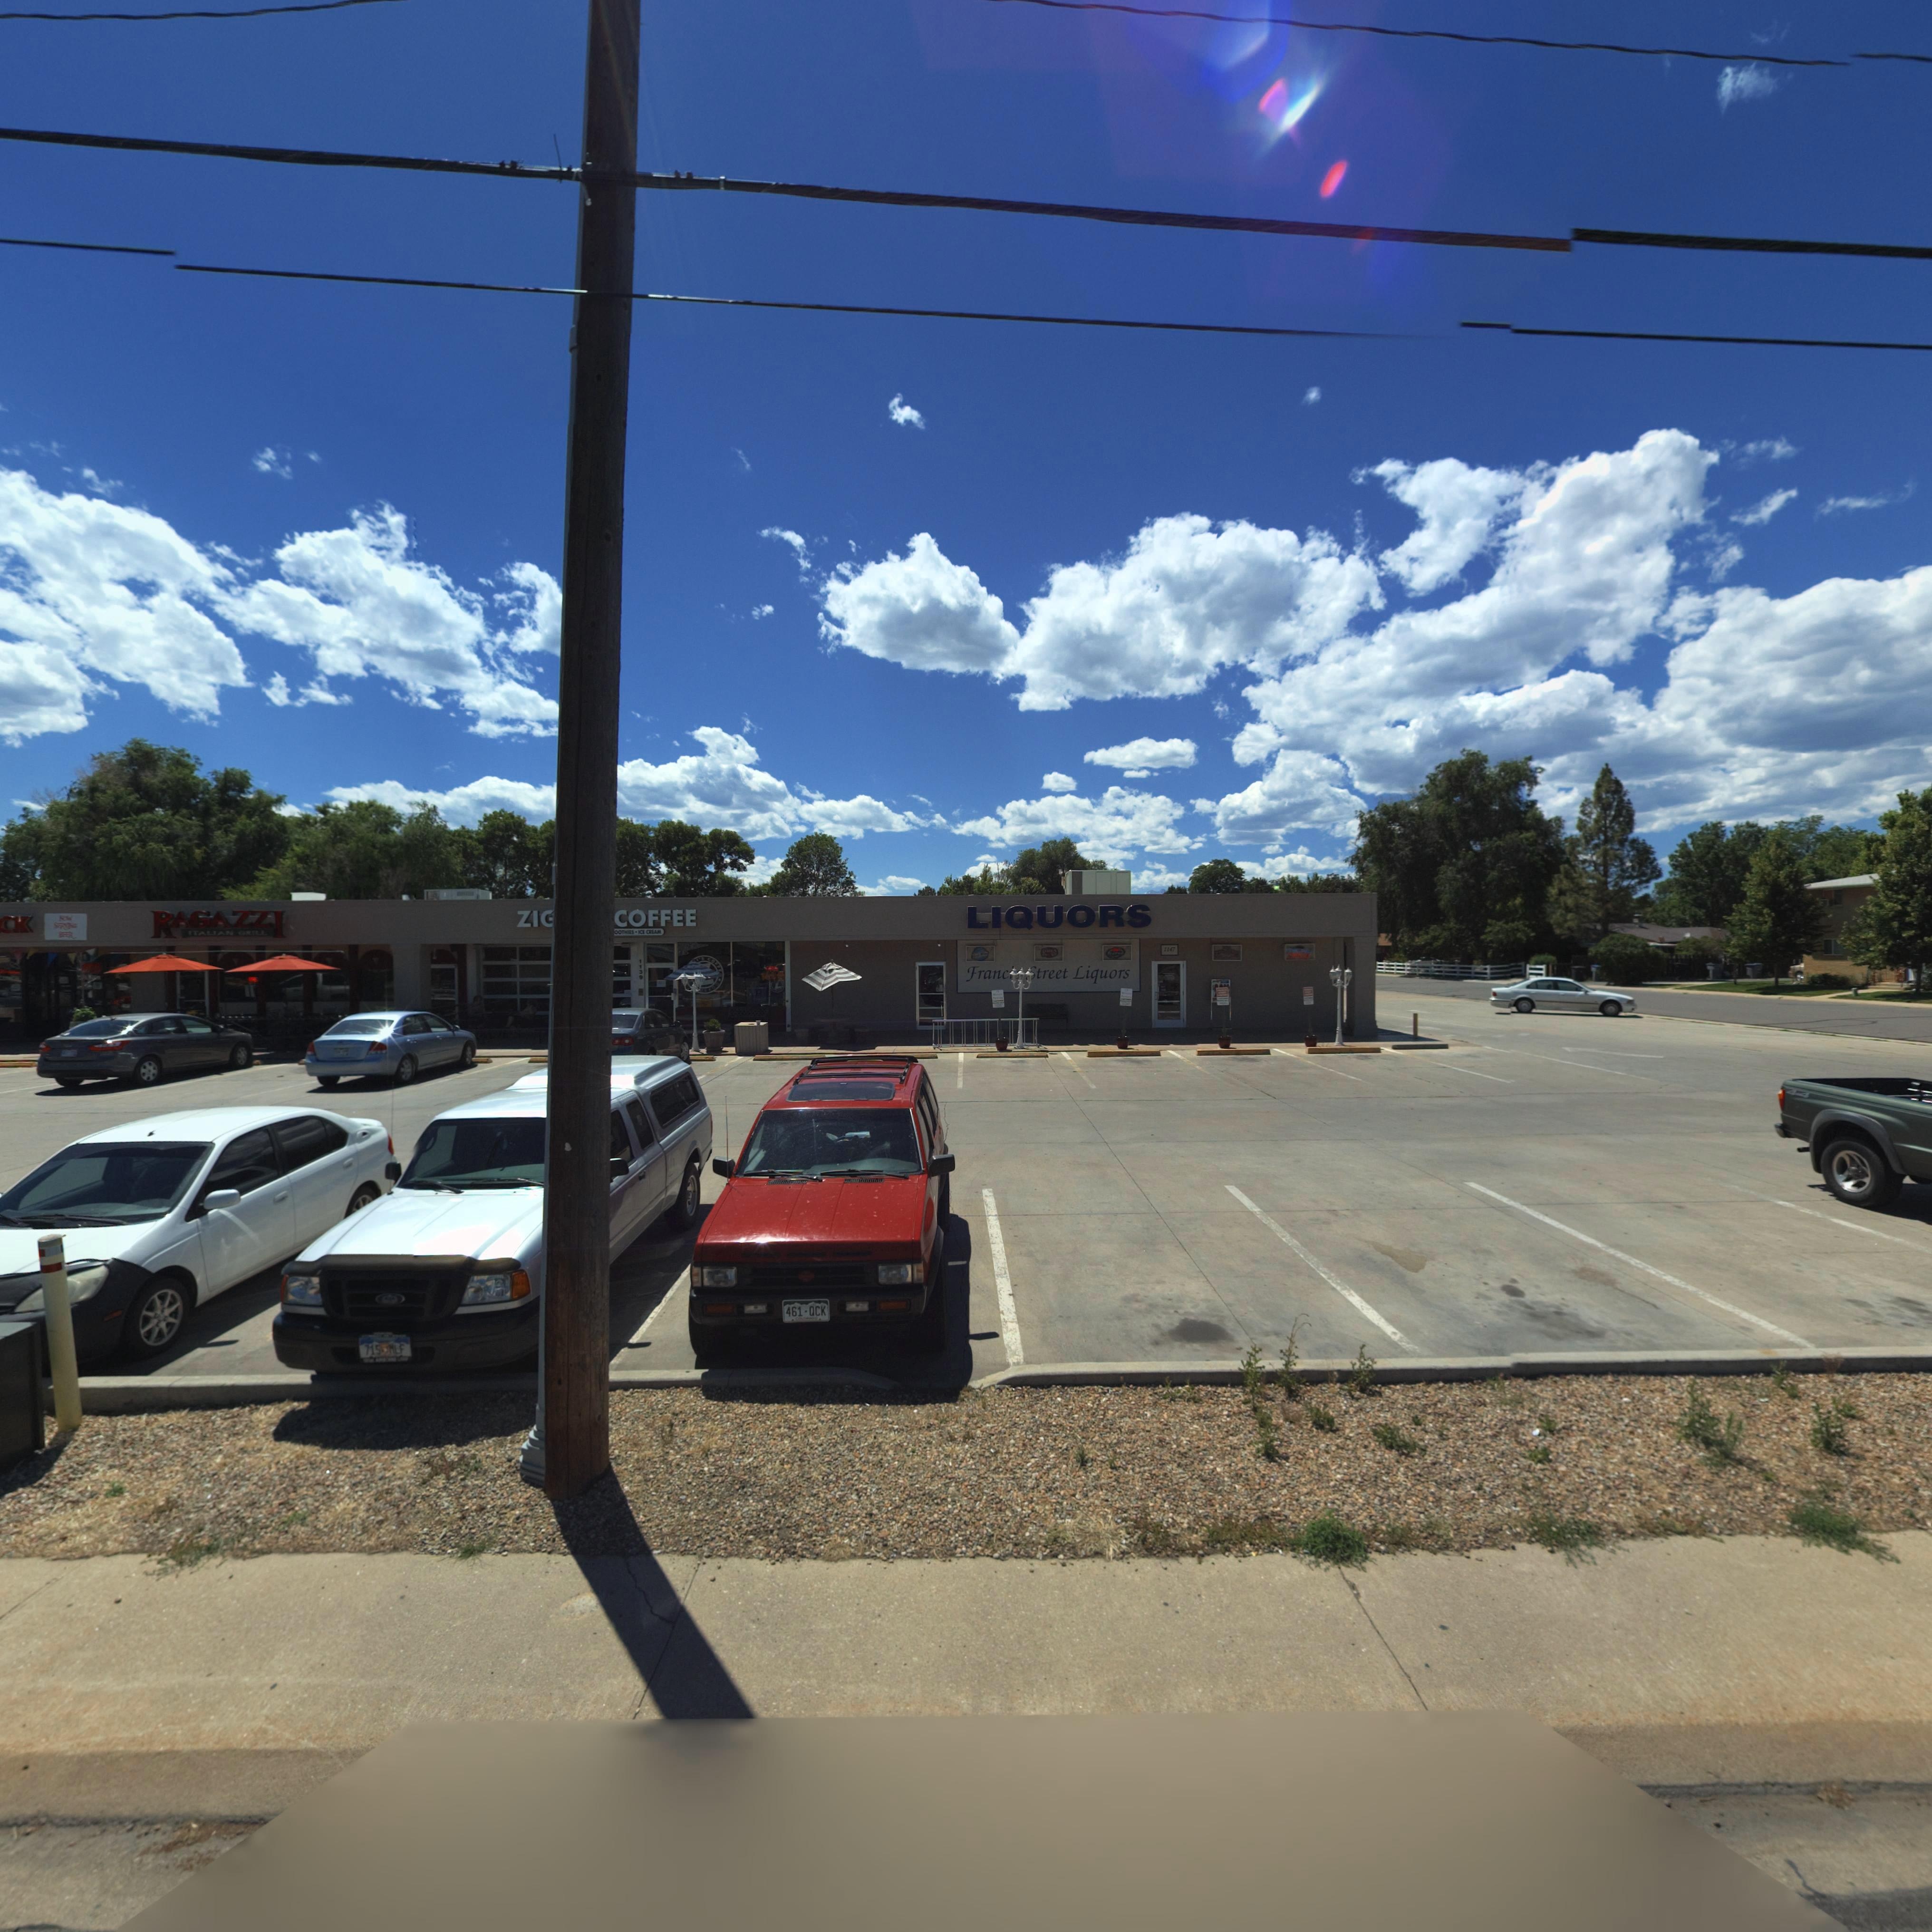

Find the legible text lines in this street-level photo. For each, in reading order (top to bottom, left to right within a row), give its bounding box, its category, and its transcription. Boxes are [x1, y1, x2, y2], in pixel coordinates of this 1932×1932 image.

[14, 914, 33, 934] BusinessName: K
[148, 909, 288, 939] BusinessName: RAGAZZI
[188, 930, 267, 936] BusinessName: ITALIAN GRILL
[517, 909, 696, 927] BusinessName: ZI**** COFFEE
[1163, 947, 1175, 952] StreetNumber: 1147
[638, 959, 643, 979] StreetNumber: 1139
[966, 965, 1130, 984] BusinessName: Franc** *treet liquors